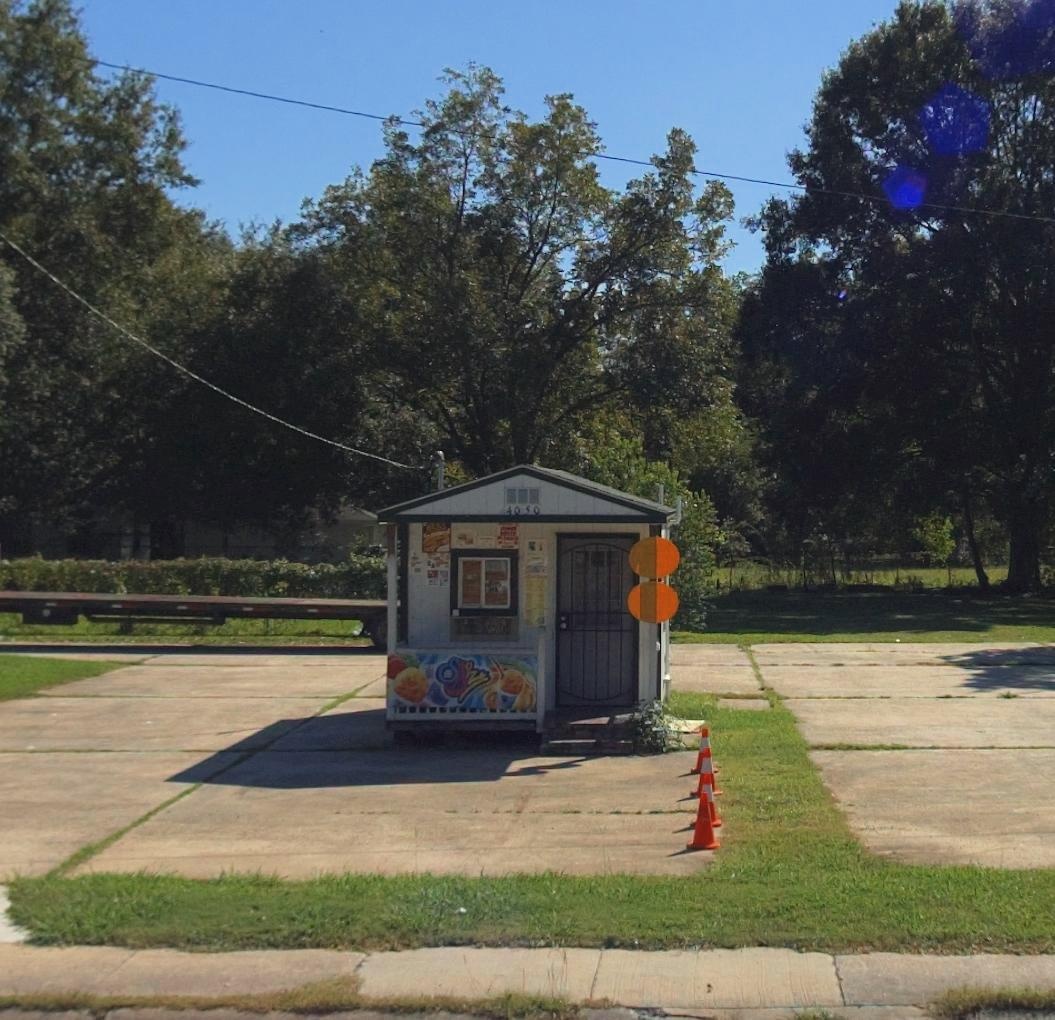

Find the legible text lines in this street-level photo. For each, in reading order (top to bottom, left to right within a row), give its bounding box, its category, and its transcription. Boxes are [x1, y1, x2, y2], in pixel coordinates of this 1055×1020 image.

[504, 504, 541, 516] StreetNumber: 4050